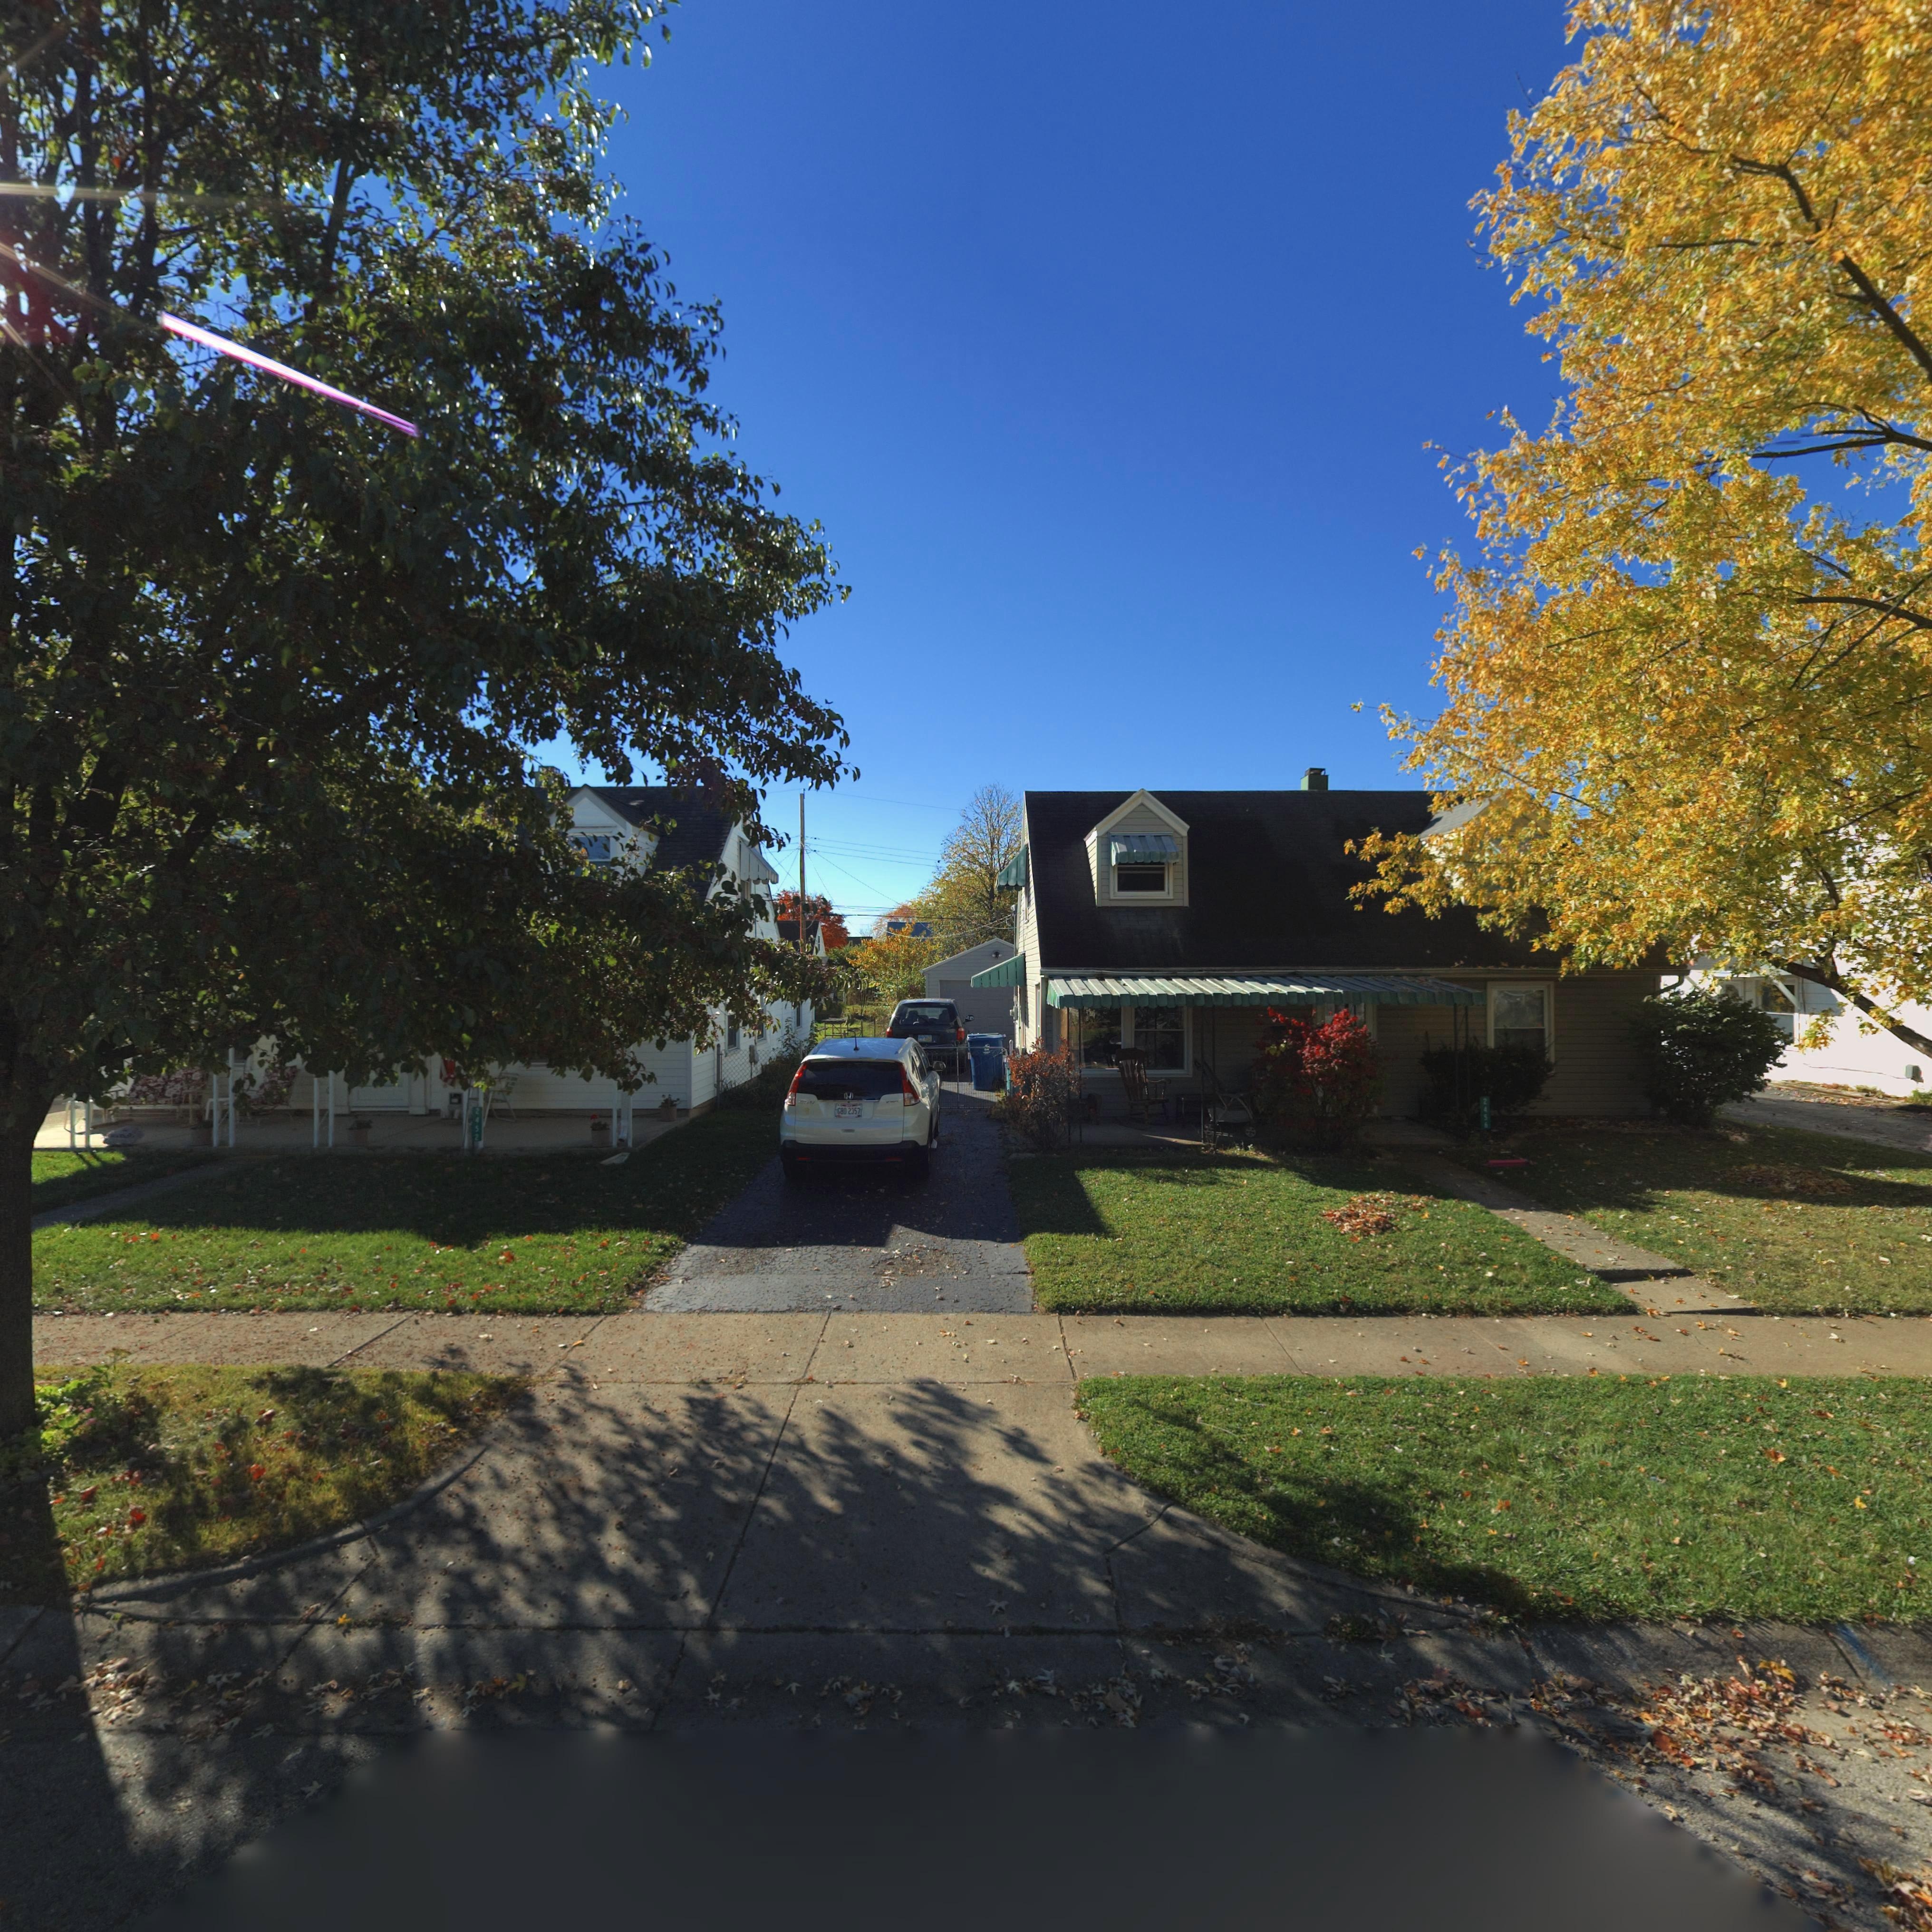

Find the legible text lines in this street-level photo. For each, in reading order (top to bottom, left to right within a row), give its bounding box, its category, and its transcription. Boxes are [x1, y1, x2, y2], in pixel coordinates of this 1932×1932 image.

[473, 1106, 481, 1142] StreetNumber: 2452
[1482, 1096, 1489, 1129] StreetNumber: 2456